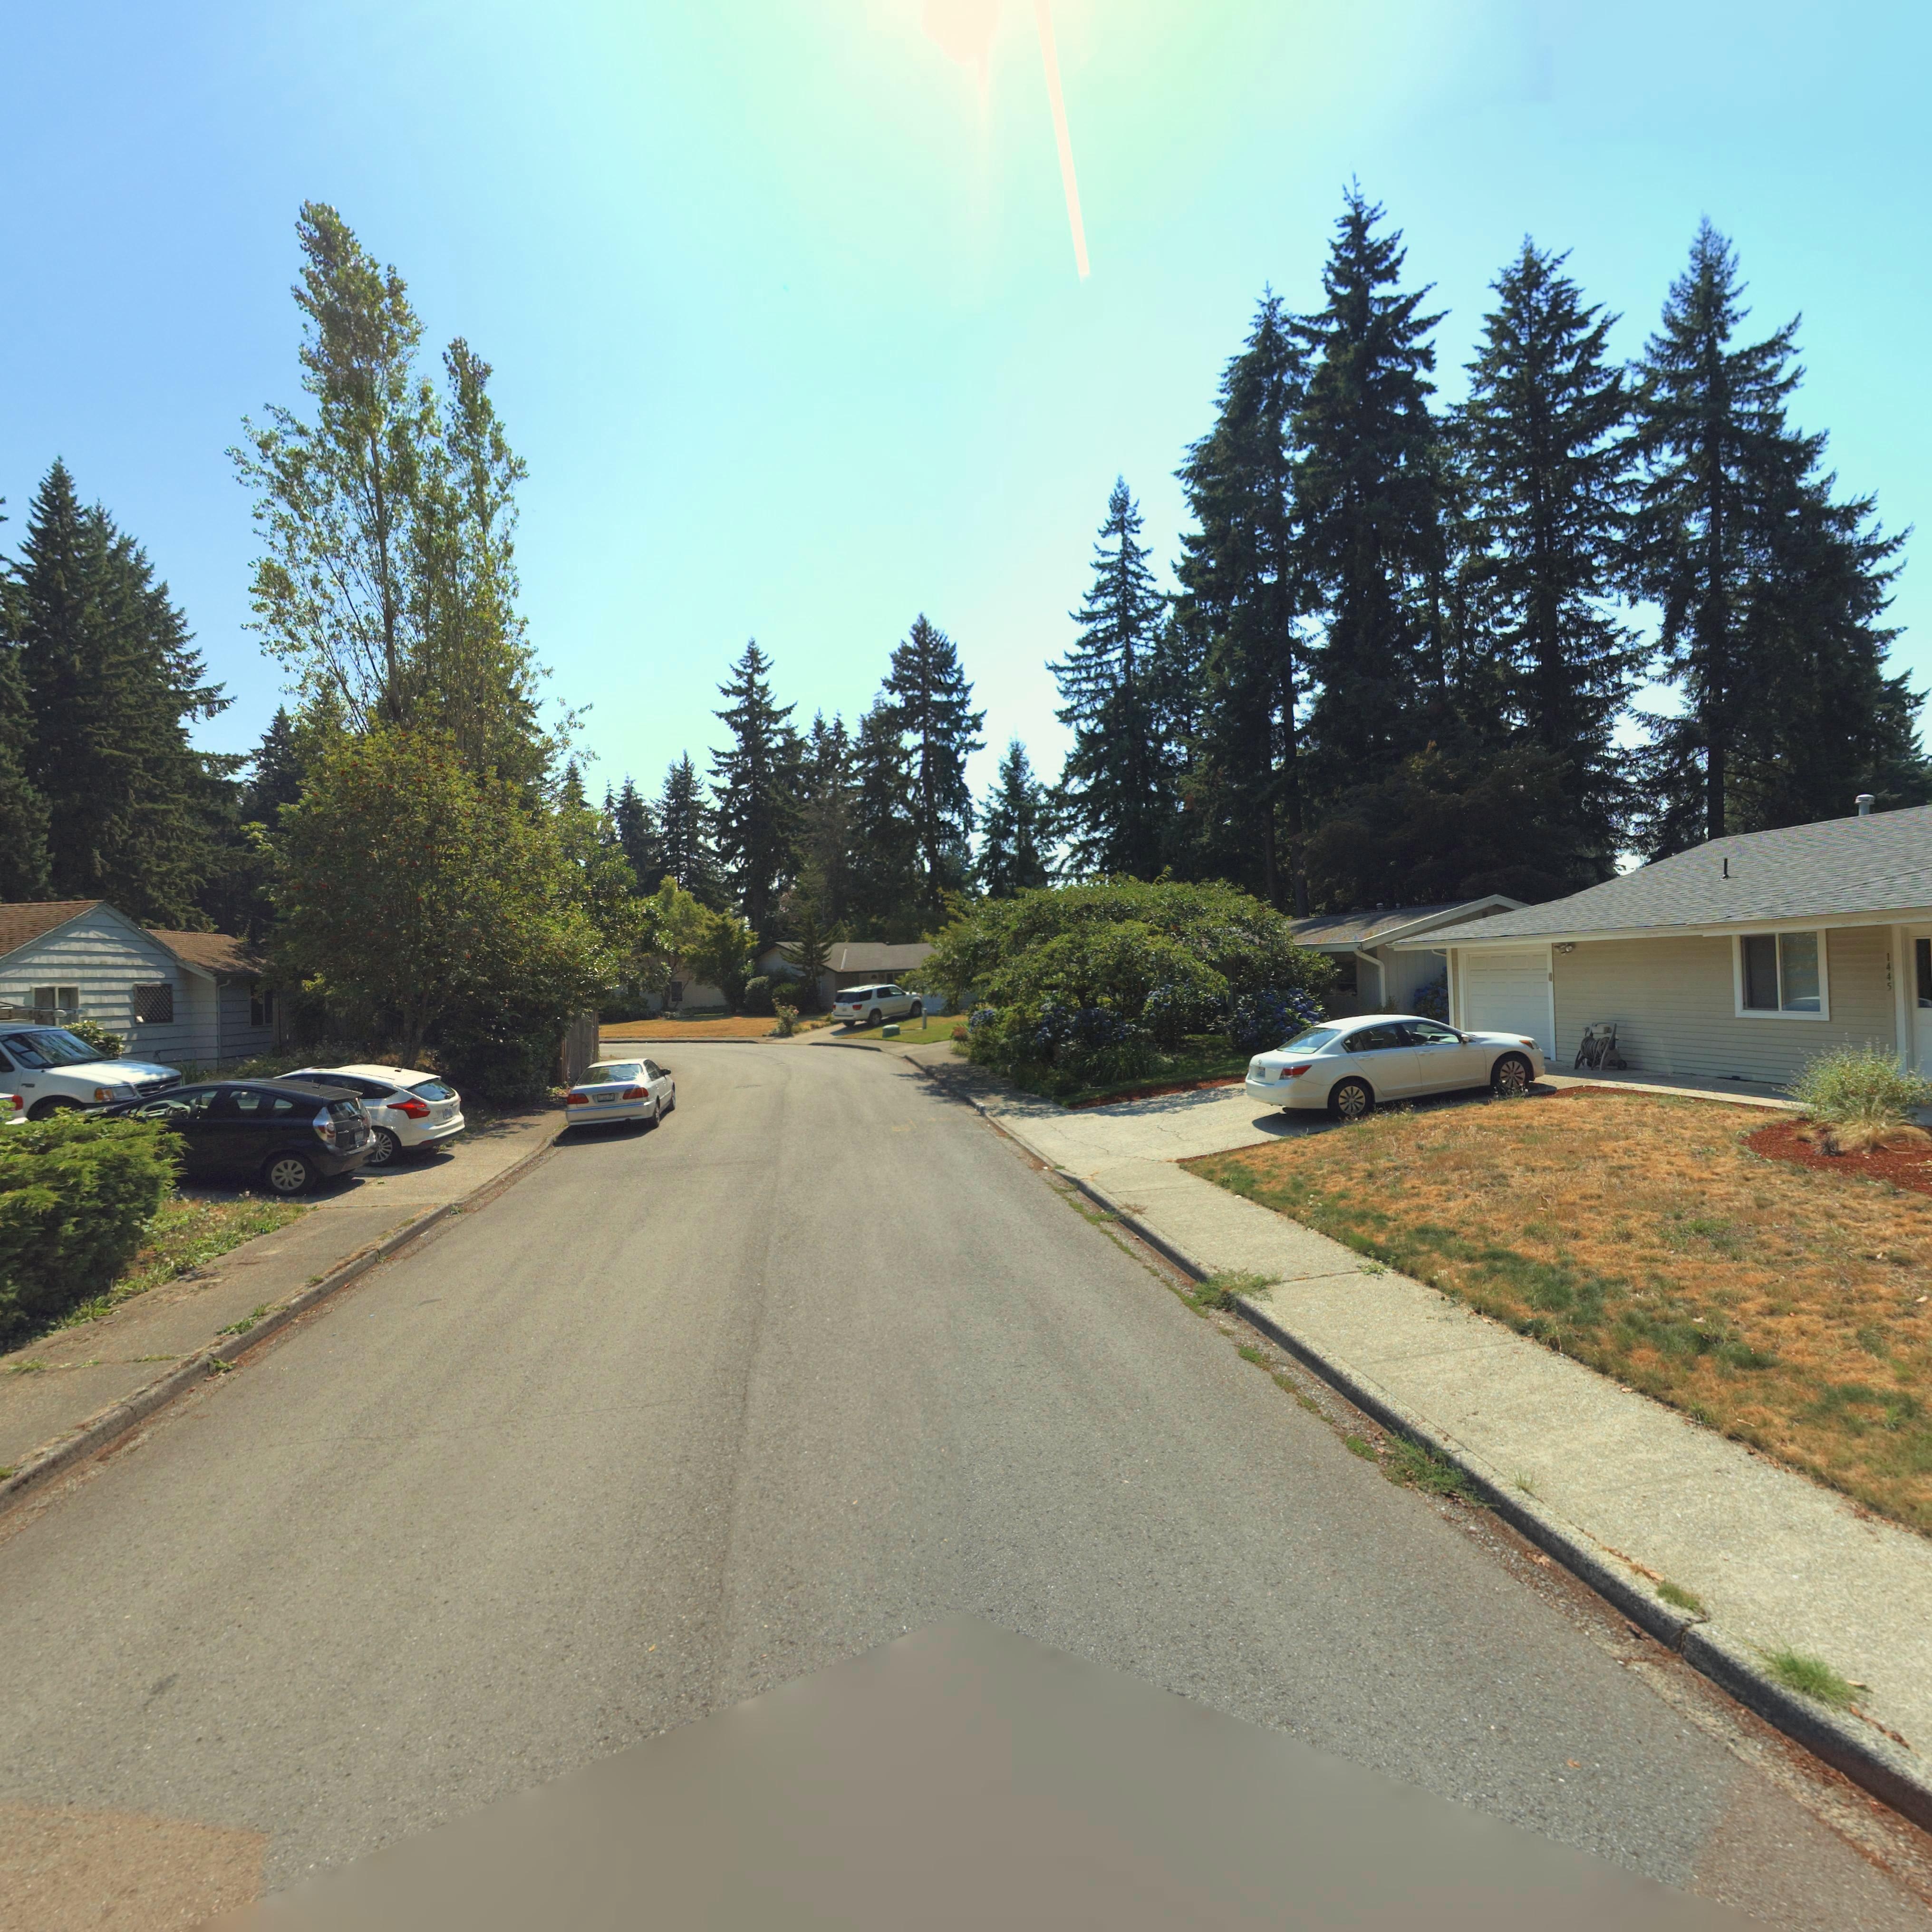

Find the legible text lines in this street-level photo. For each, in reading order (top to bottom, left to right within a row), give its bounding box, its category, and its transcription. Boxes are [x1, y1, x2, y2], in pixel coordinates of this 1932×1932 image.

[1885, 953, 1892, 991] StreetNumber: 1445